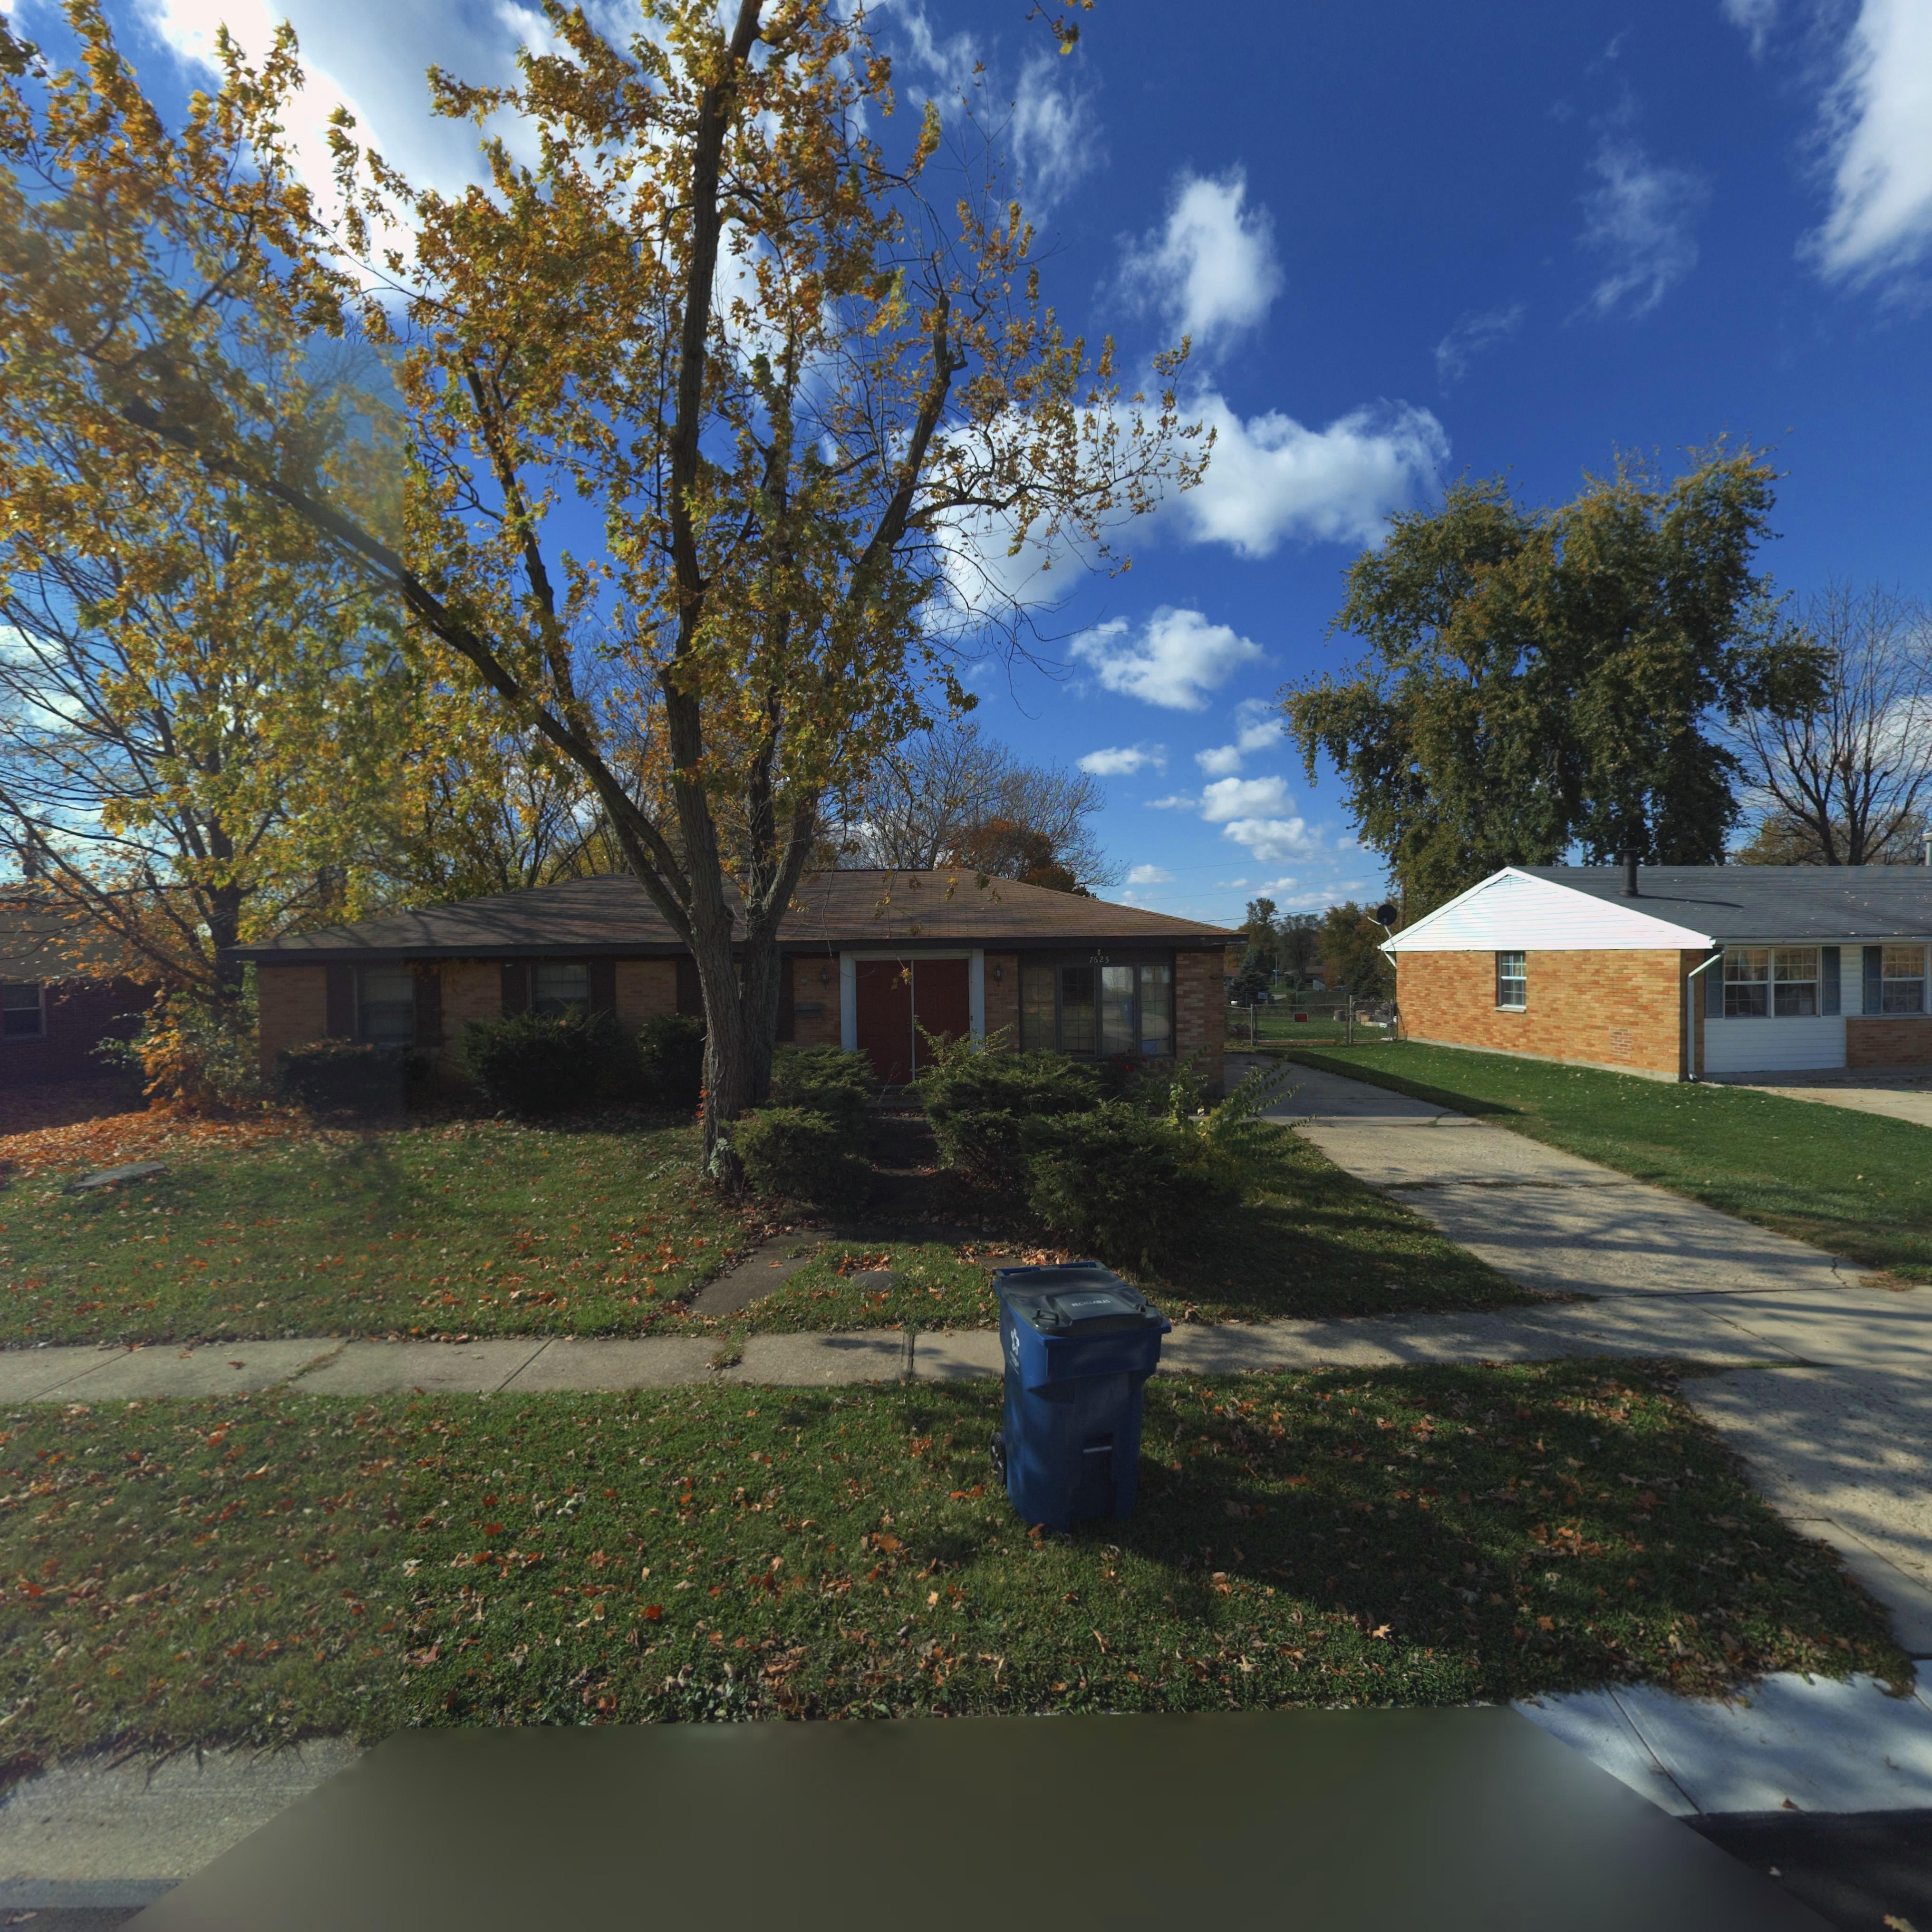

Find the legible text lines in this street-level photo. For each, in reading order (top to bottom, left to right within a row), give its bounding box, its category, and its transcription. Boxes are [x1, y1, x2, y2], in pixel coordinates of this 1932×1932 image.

[1089, 956, 1110, 964] StreetNumber: 7625